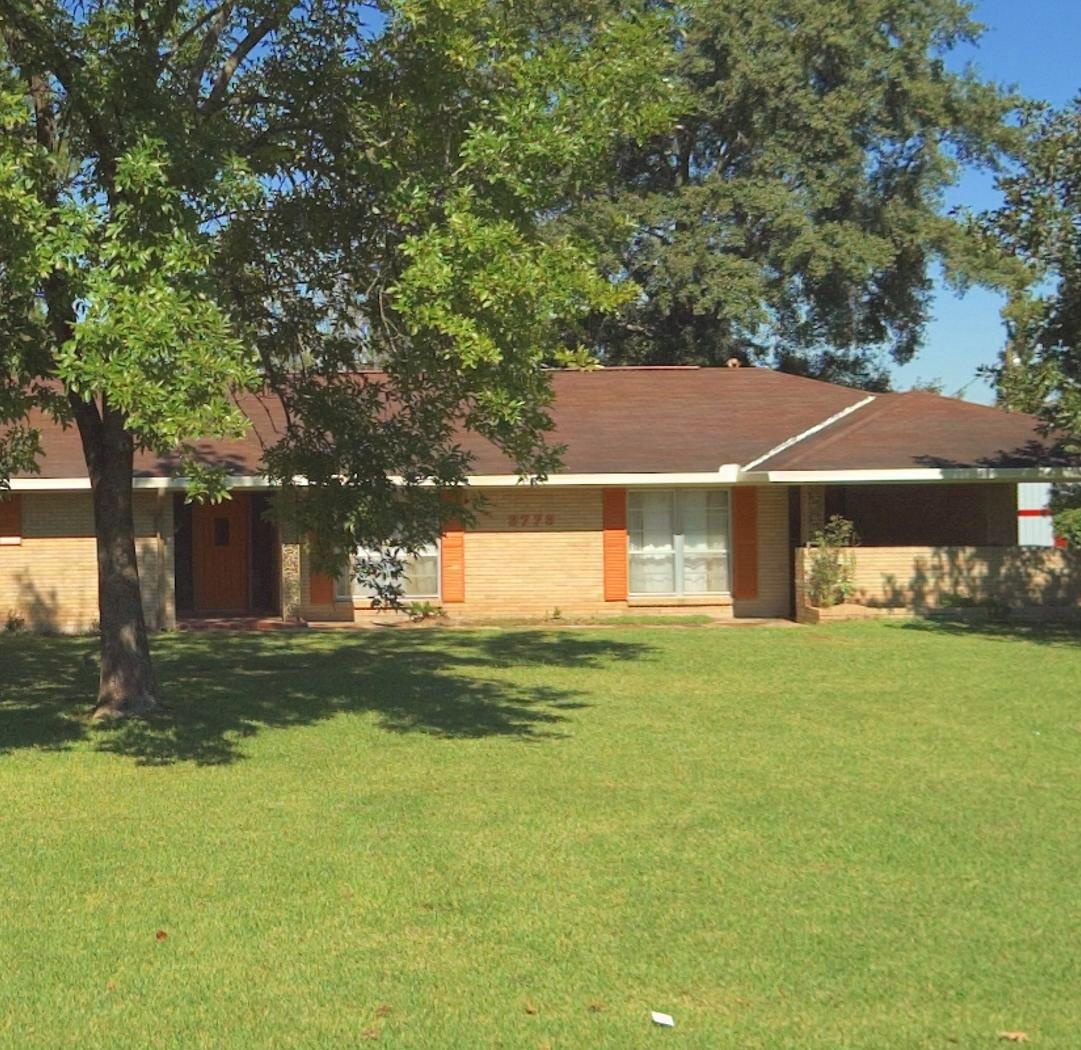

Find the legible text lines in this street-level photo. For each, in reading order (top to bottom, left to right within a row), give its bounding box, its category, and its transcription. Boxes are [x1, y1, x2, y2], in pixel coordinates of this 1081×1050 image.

[507, 513, 555, 528] StreetNumber: 3773